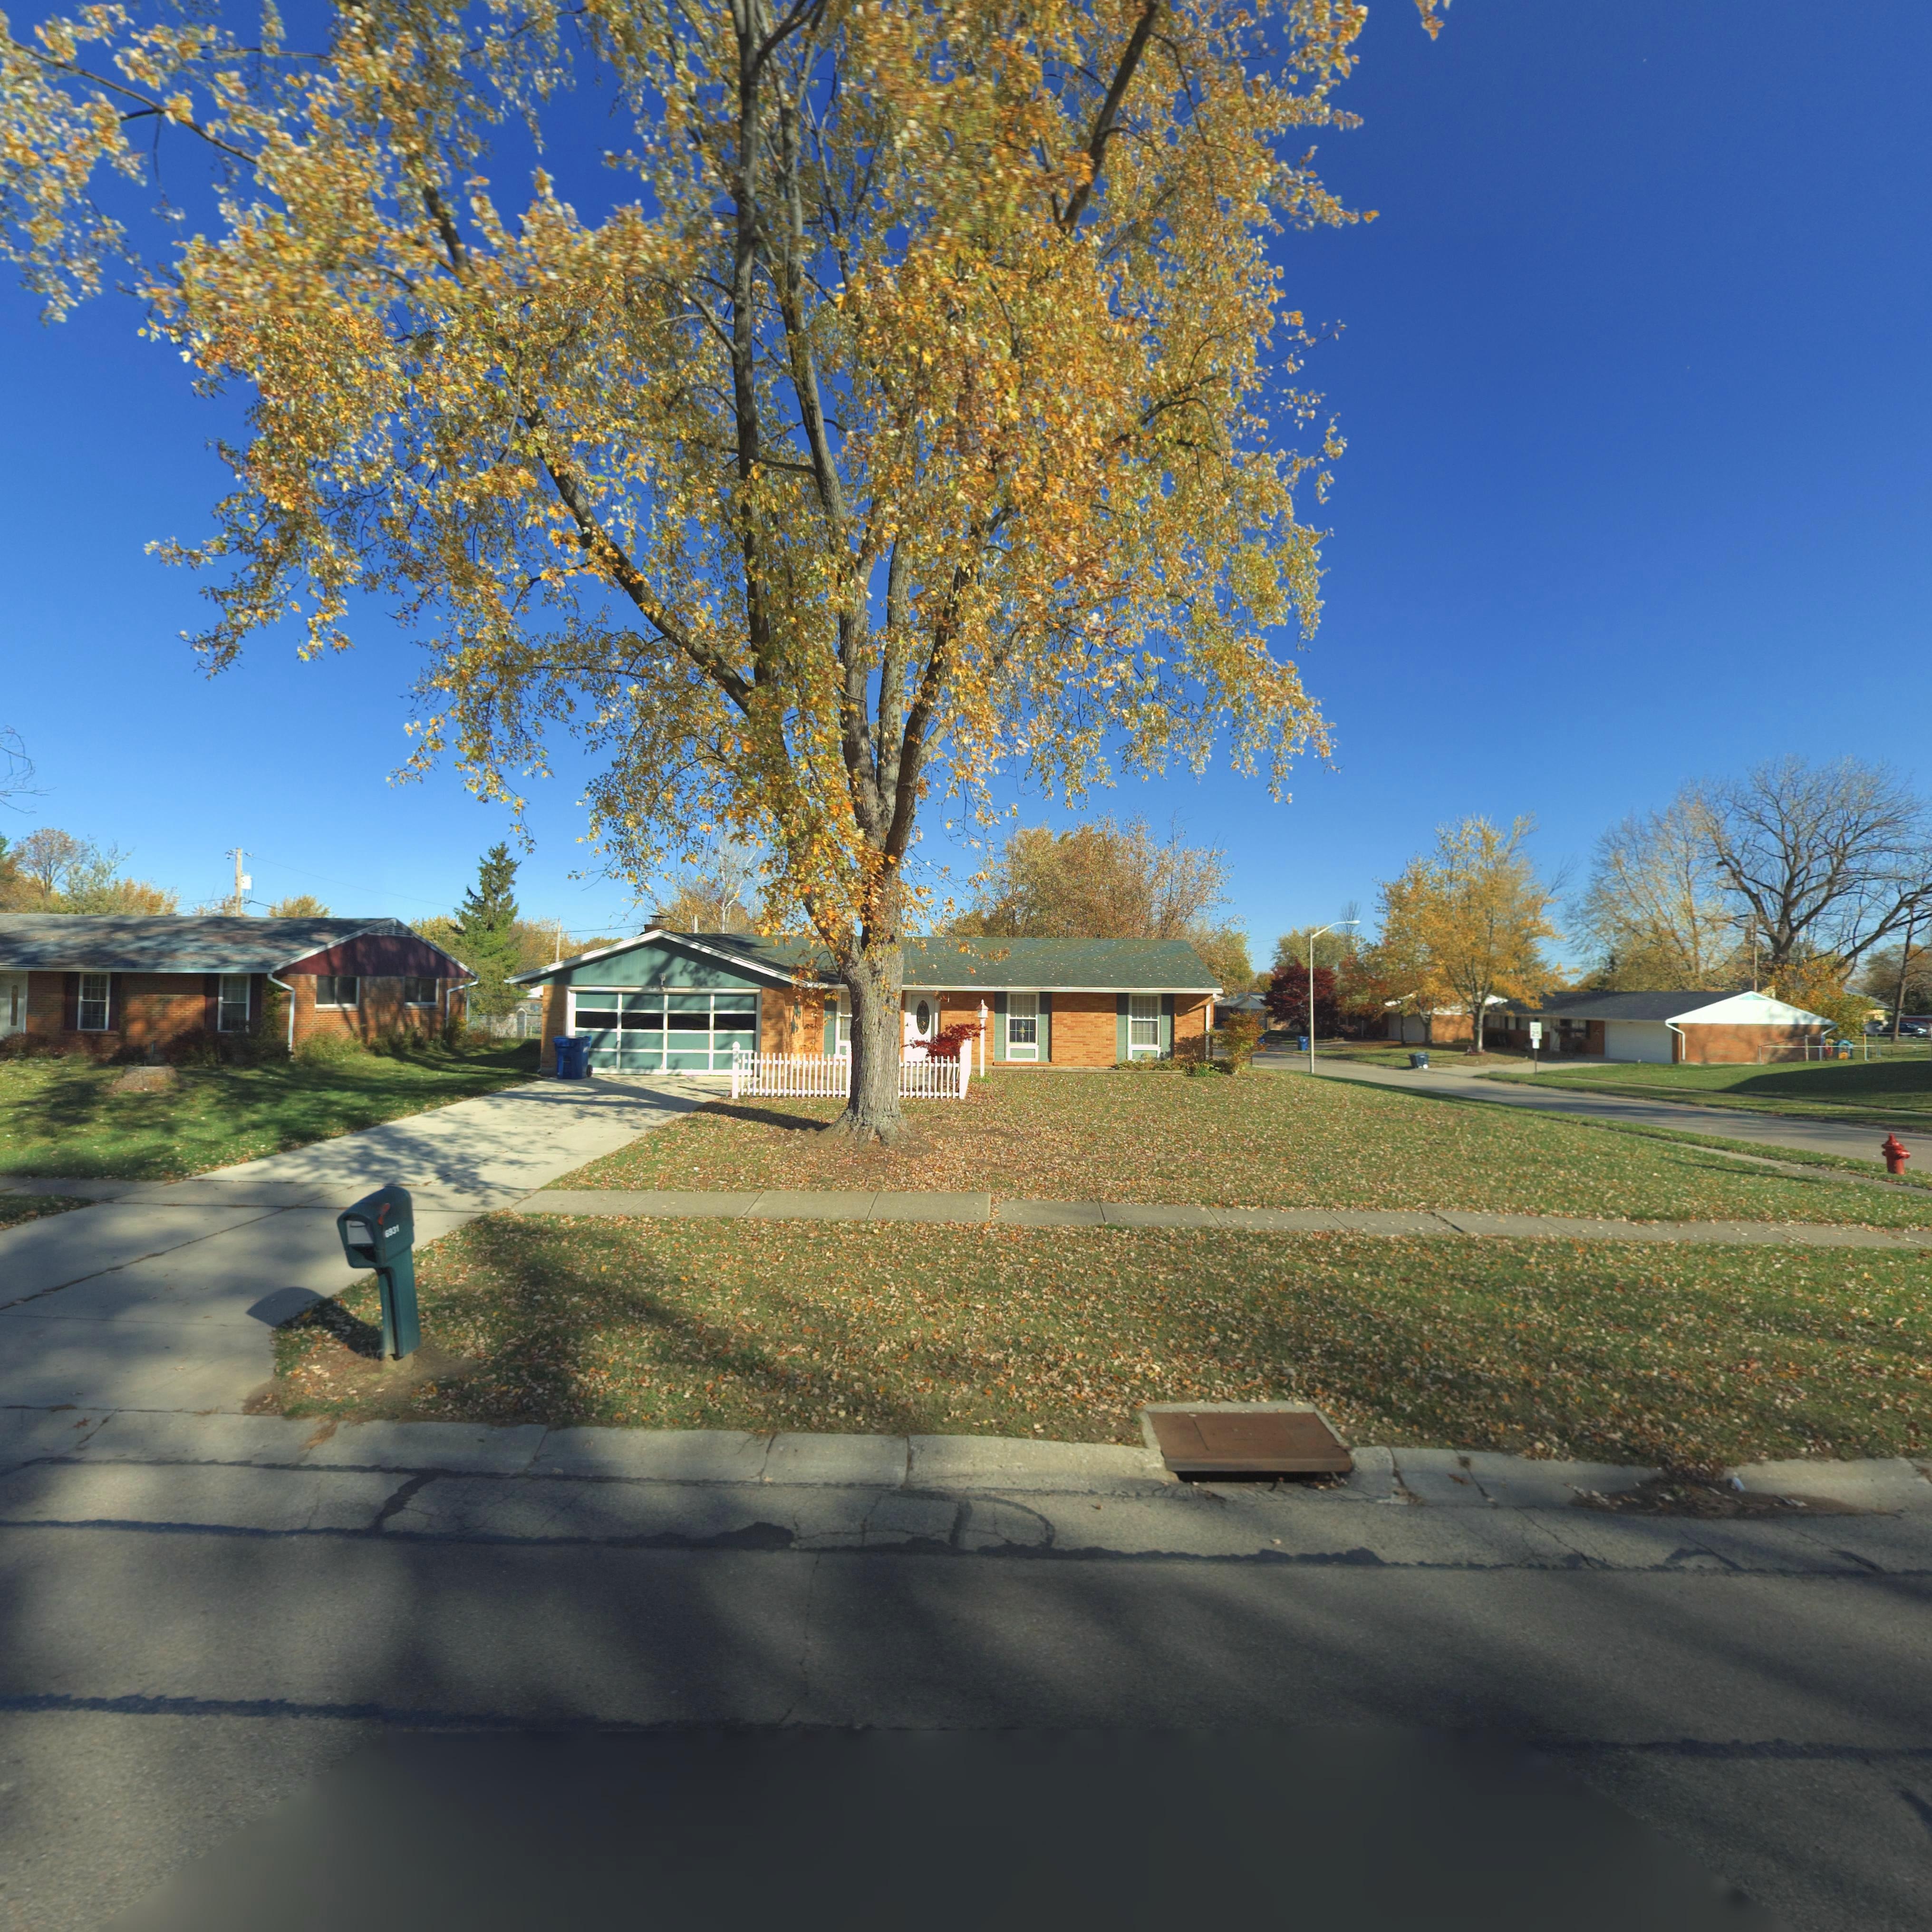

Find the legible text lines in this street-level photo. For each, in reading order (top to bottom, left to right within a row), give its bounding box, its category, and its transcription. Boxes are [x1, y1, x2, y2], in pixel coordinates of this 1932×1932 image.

[384, 1223, 401, 1240] StreetNumber: 6931